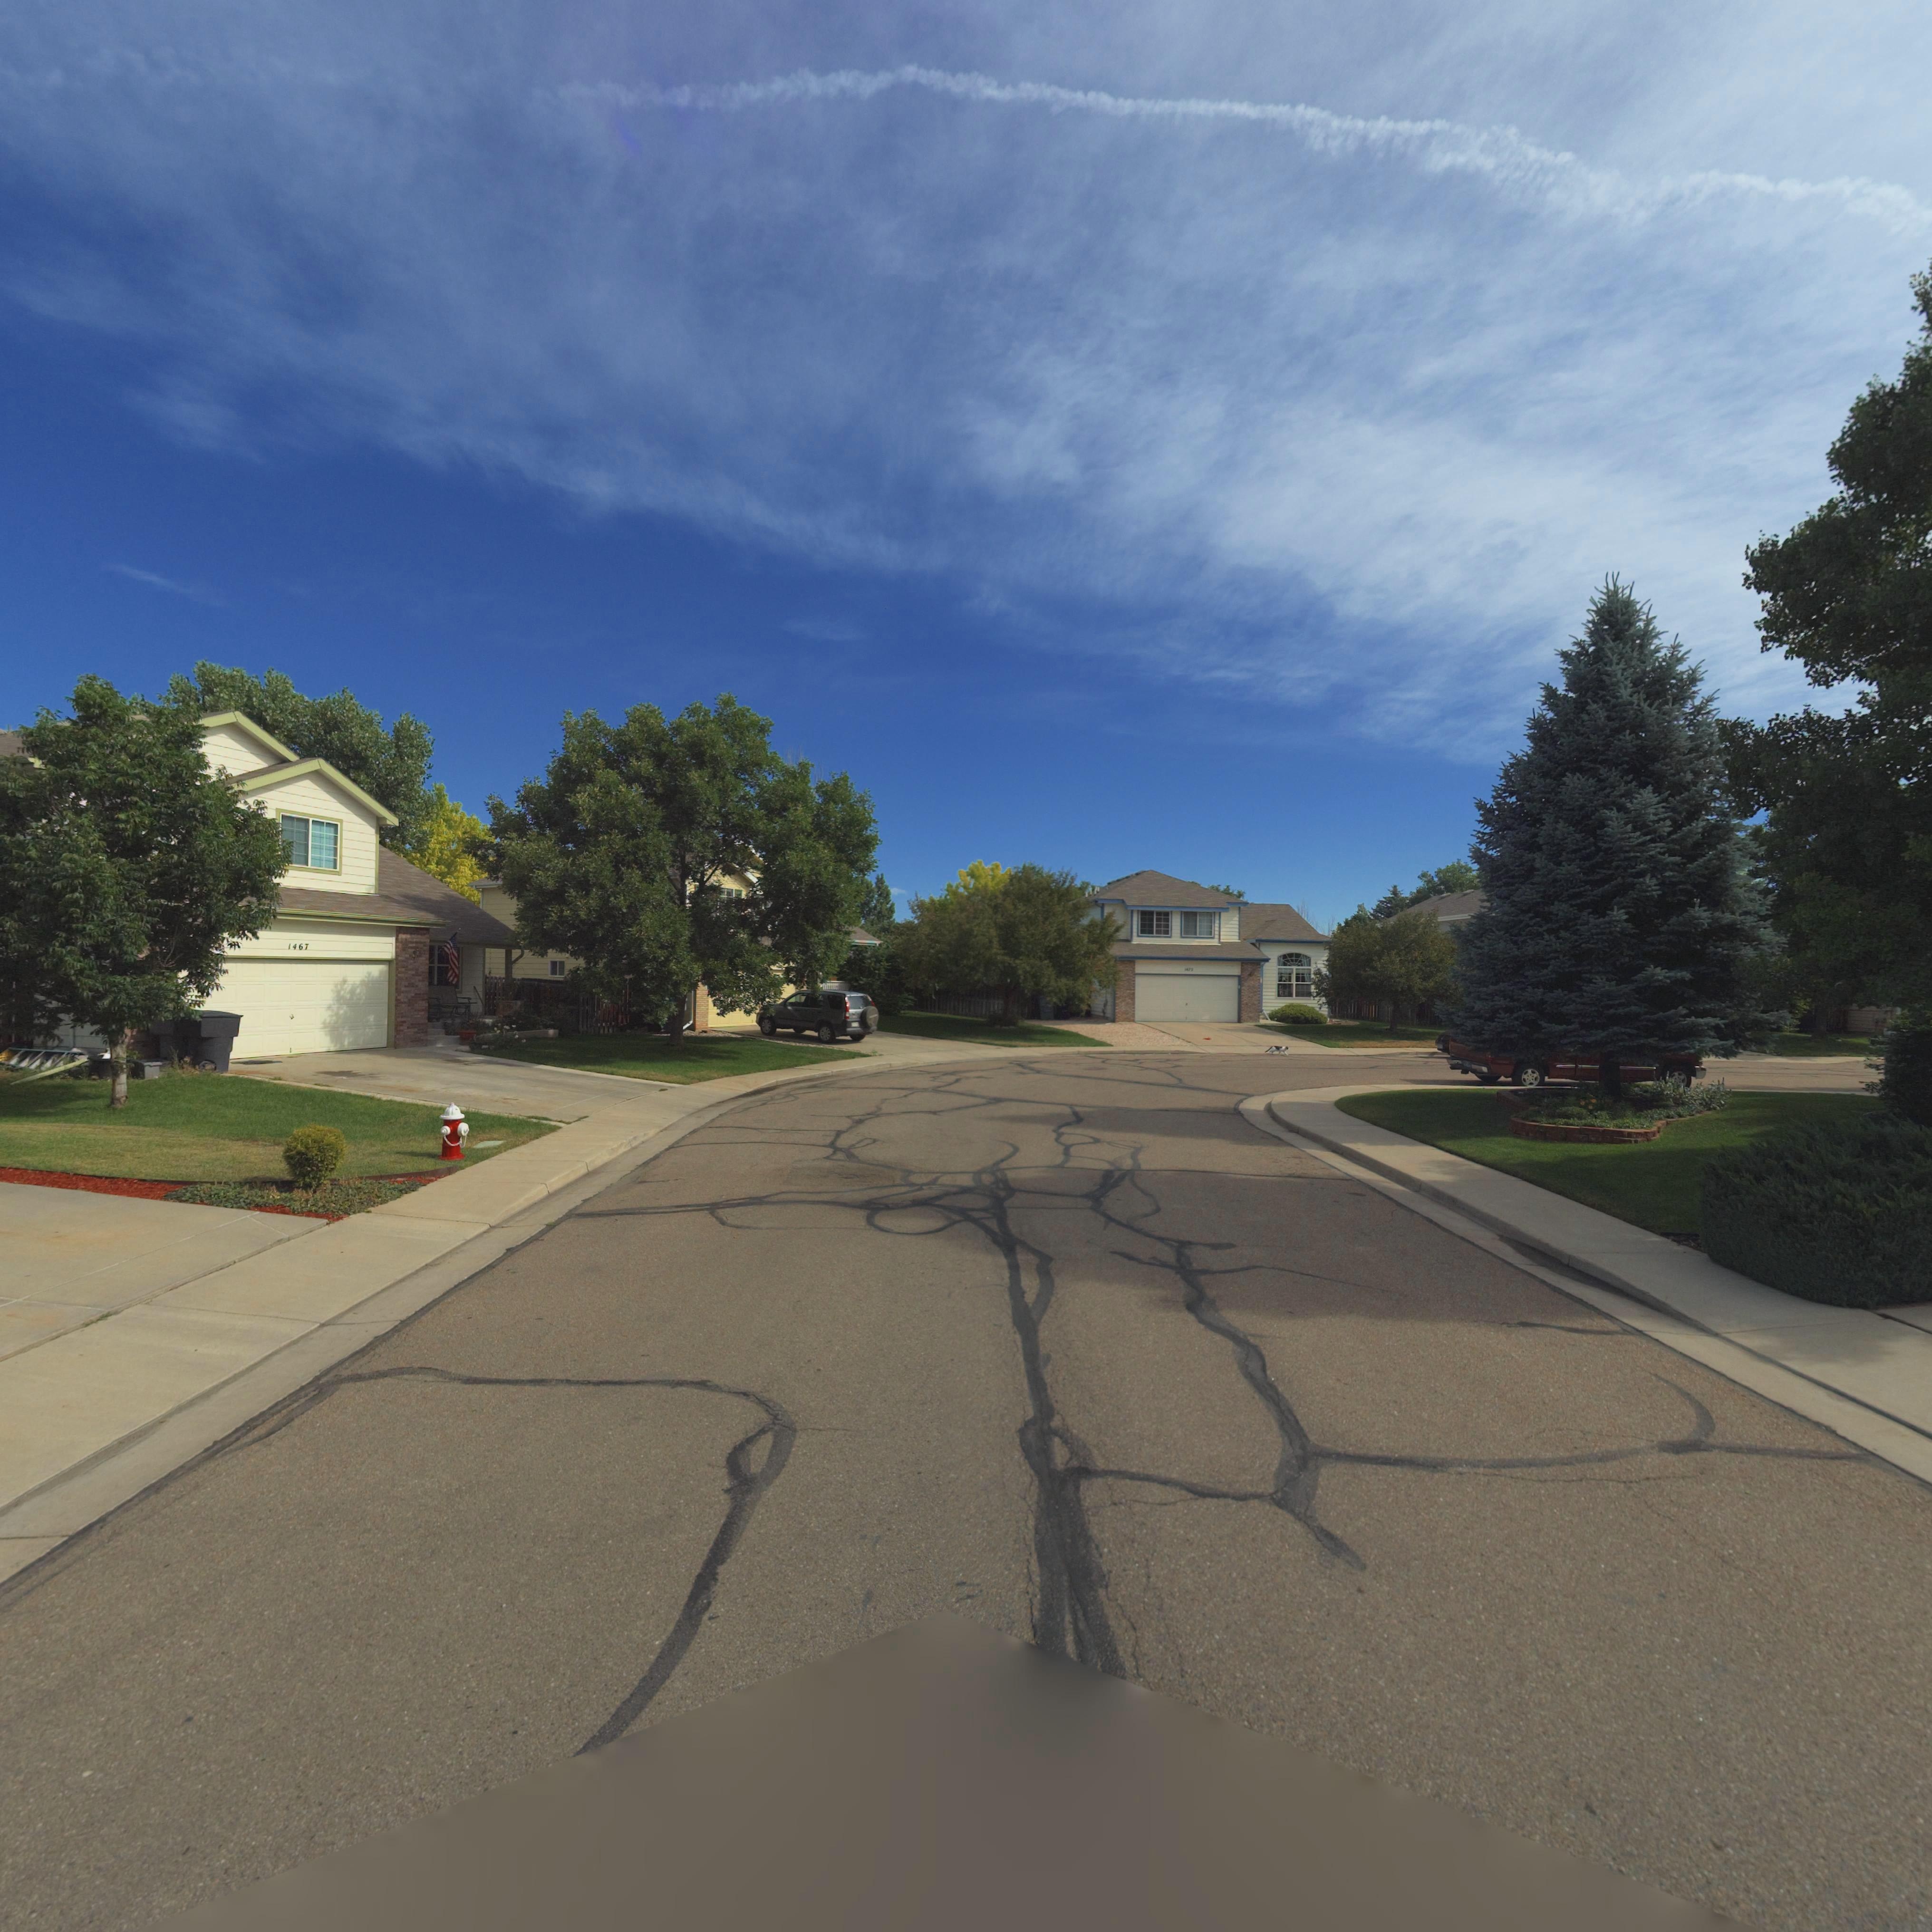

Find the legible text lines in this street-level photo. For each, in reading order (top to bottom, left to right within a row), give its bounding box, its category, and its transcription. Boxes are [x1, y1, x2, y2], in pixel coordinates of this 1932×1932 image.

[287, 943, 309, 950] StreetNumber: 1467
[1184, 967, 1193, 972] StreetNumber: 1475